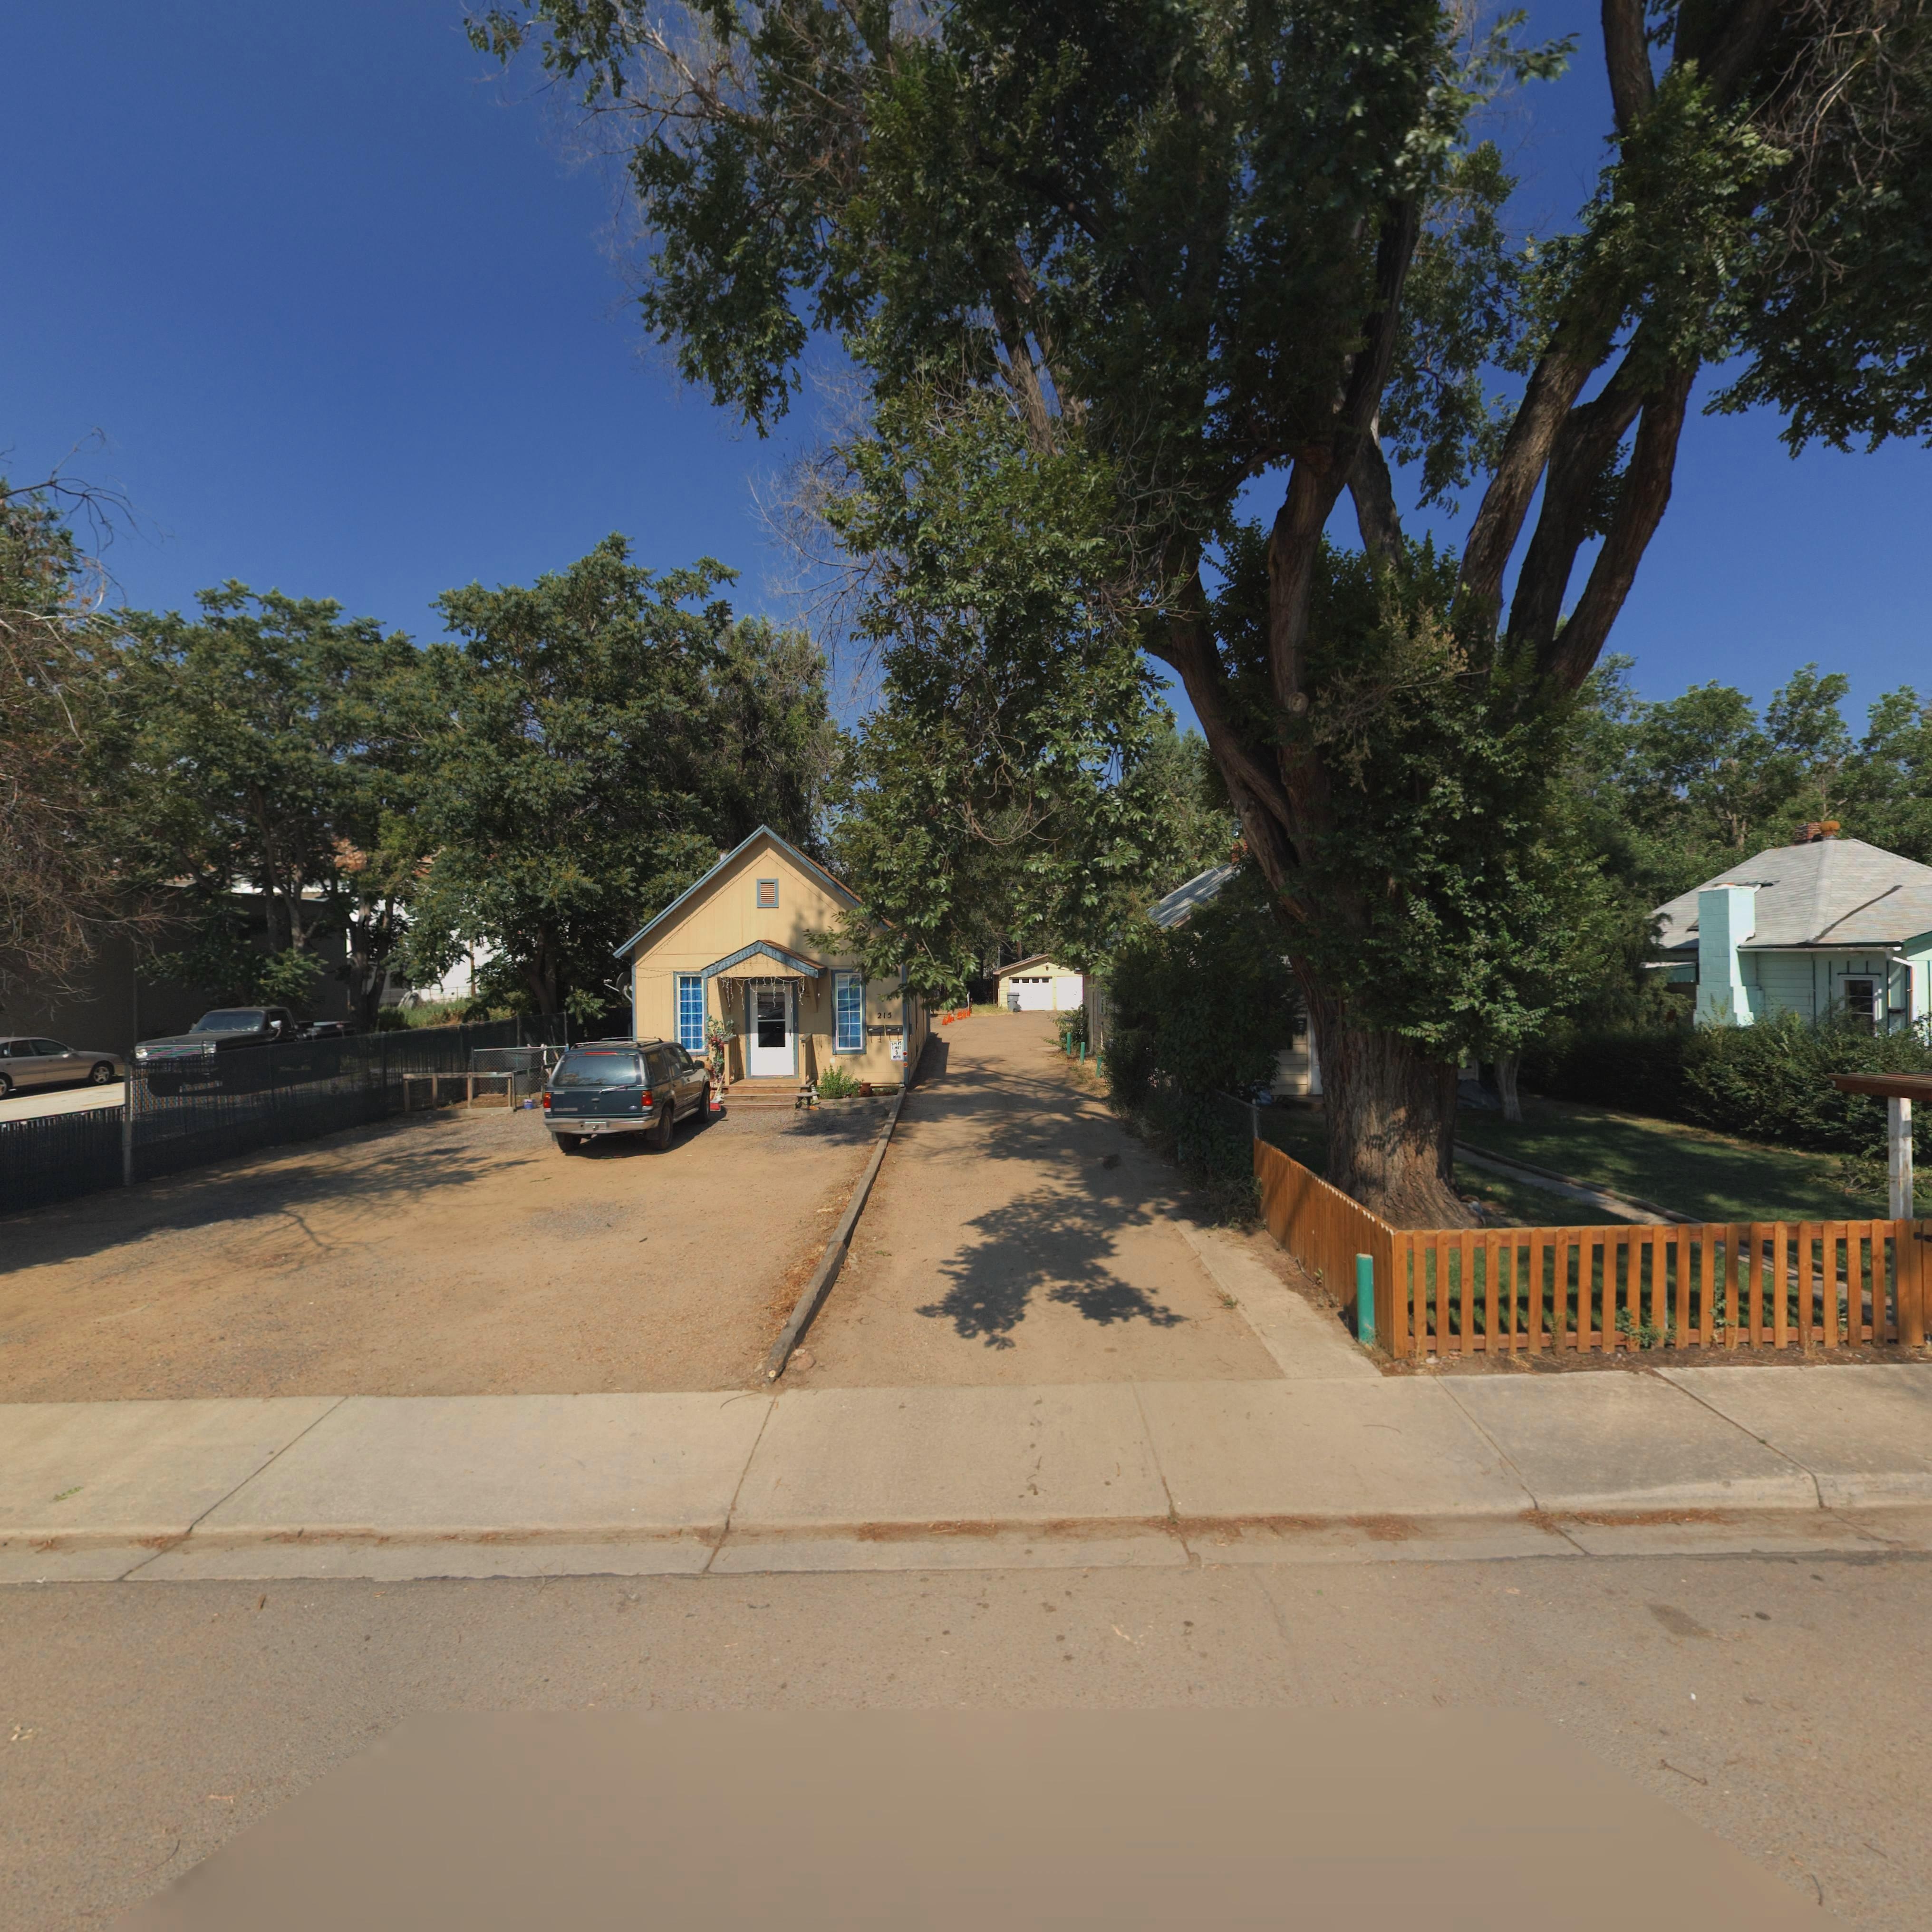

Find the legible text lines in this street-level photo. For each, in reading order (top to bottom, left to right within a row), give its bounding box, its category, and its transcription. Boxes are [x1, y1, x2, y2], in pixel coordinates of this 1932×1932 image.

[877, 1012, 892, 1019] StreetNumber: 215